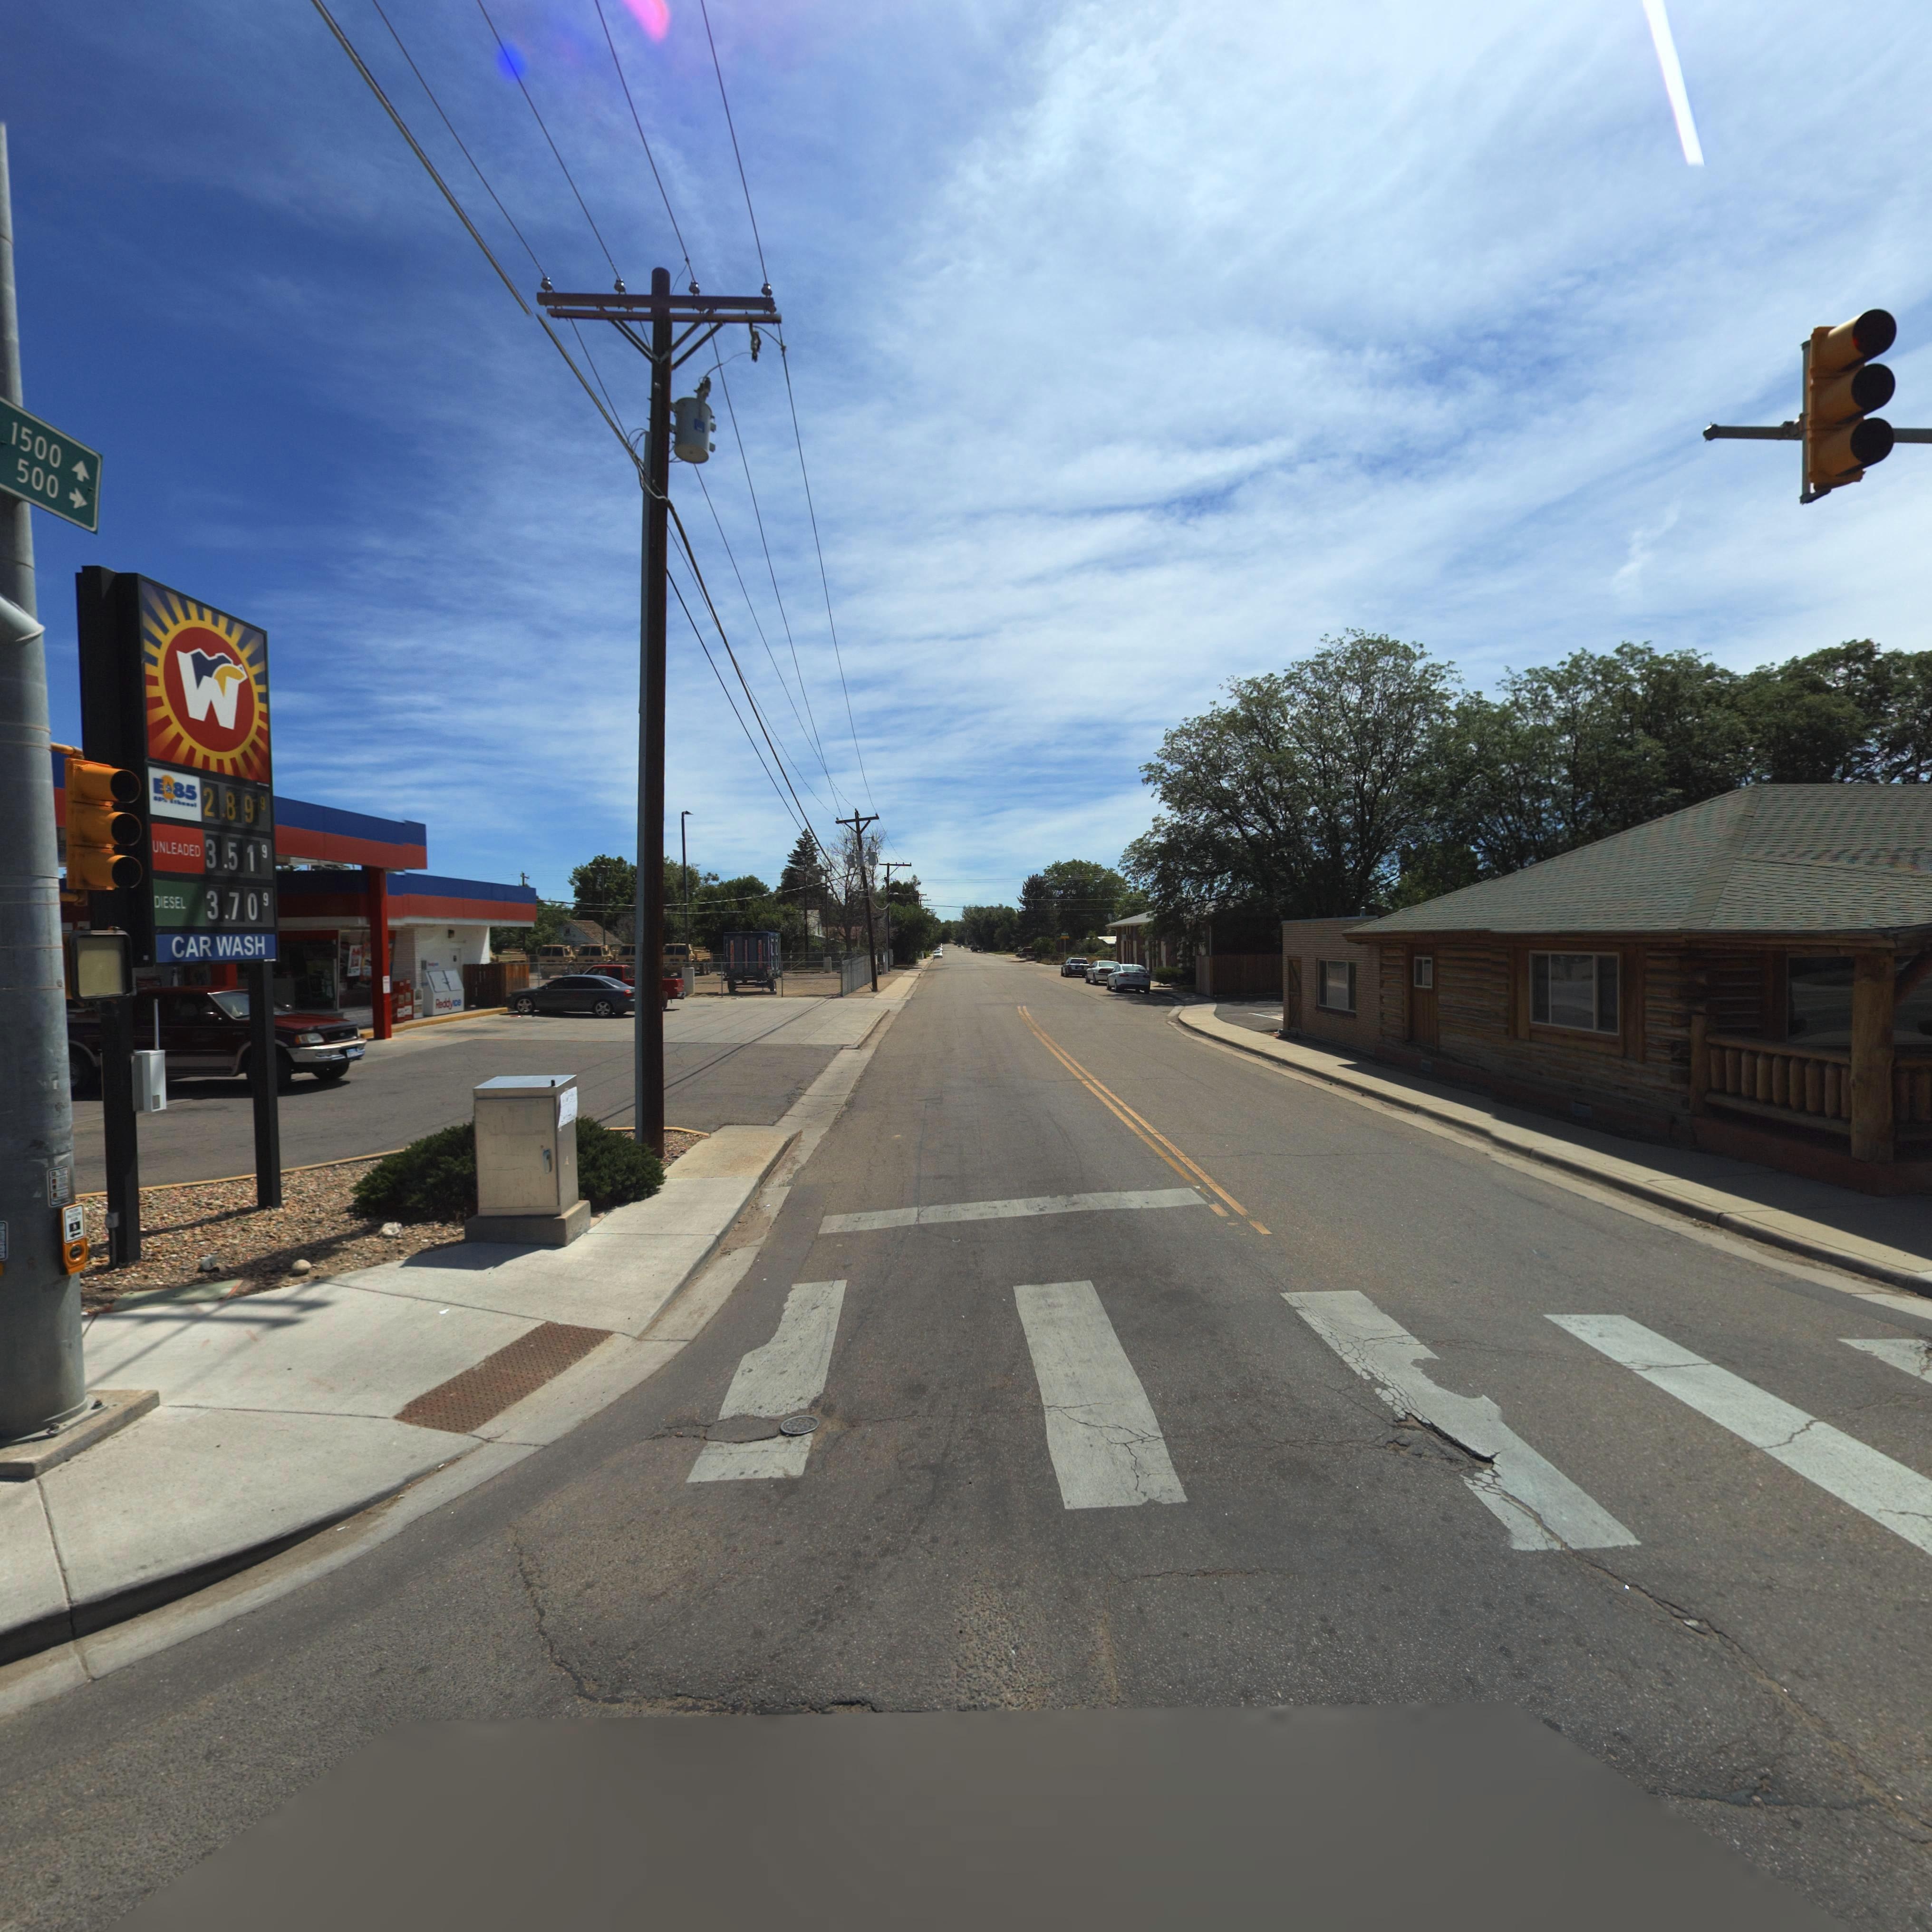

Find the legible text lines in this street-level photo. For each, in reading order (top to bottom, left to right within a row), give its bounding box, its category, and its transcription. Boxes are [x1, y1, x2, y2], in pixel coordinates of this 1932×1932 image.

[10, 419, 62, 470] StreetNumberRange: 1500
[16, 455, 91, 510] StreetNumberRange: 500->